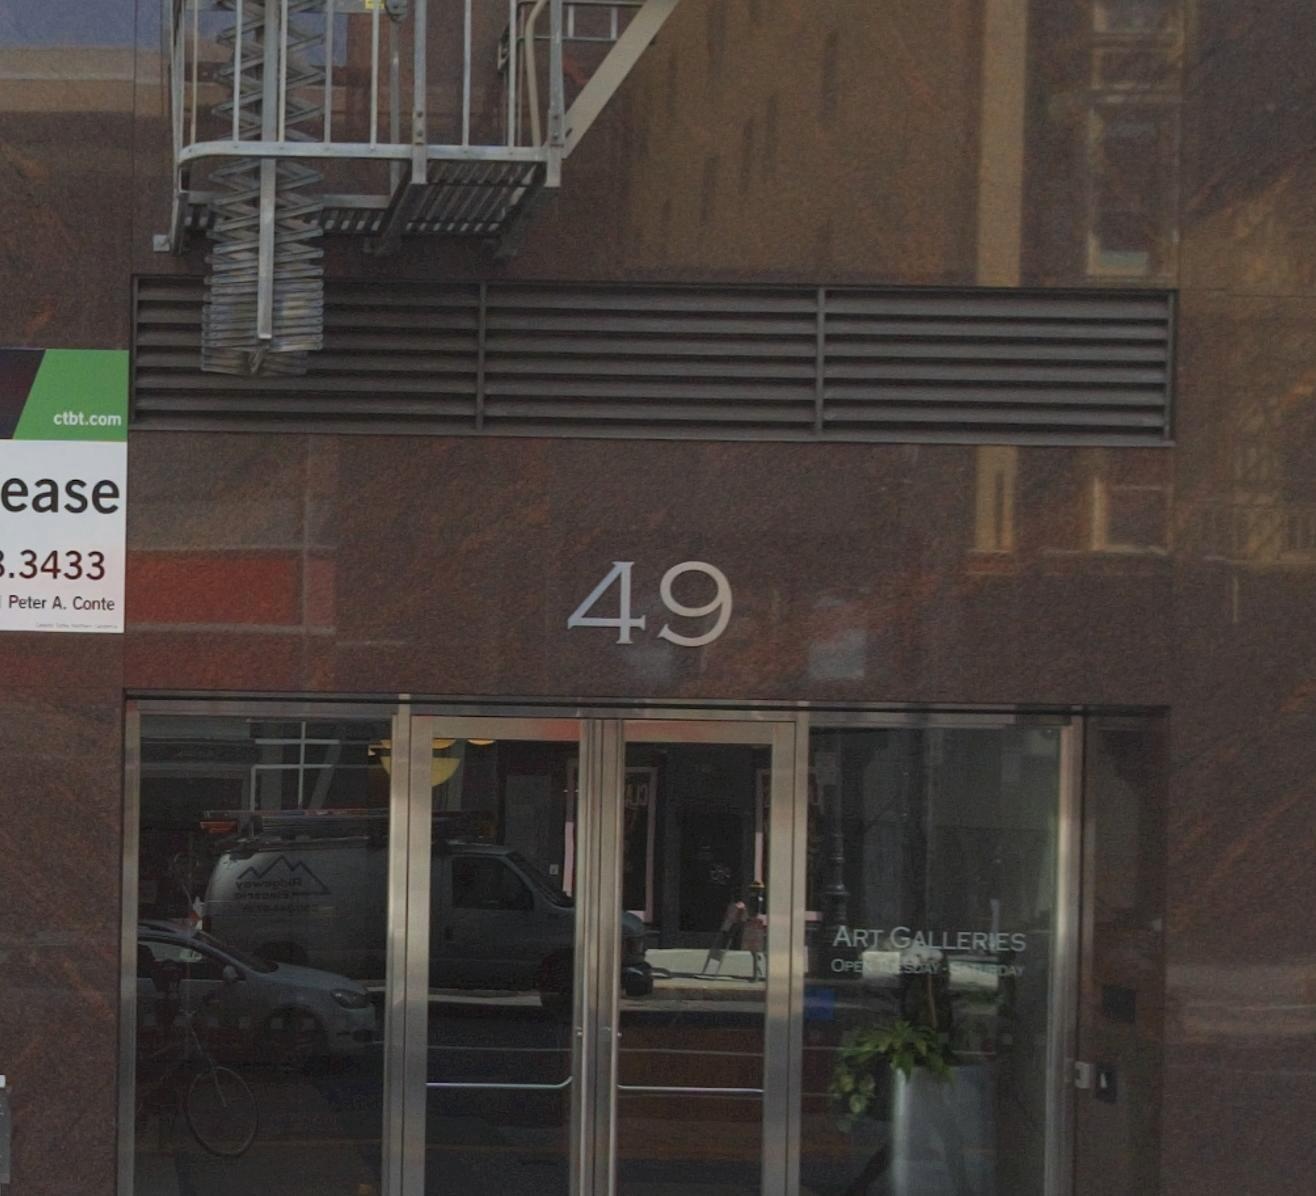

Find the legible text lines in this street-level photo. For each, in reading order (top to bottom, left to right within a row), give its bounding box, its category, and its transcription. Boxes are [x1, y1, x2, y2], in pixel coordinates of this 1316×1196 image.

[51, 409, 125, 428] None: ctbt.com
[1, 478, 123, 517] None: ease
[17, 548, 109, 581] None: 3433
[6, 593, 119, 613] None: Peter A. Conte
[562, 558, 738, 651] StreetNumber: 49
[830, 924, 1029, 954] None: ART GALLERIES
[829, 957, 1033, 979] None: OPEN TUESDAY - SATURDAY